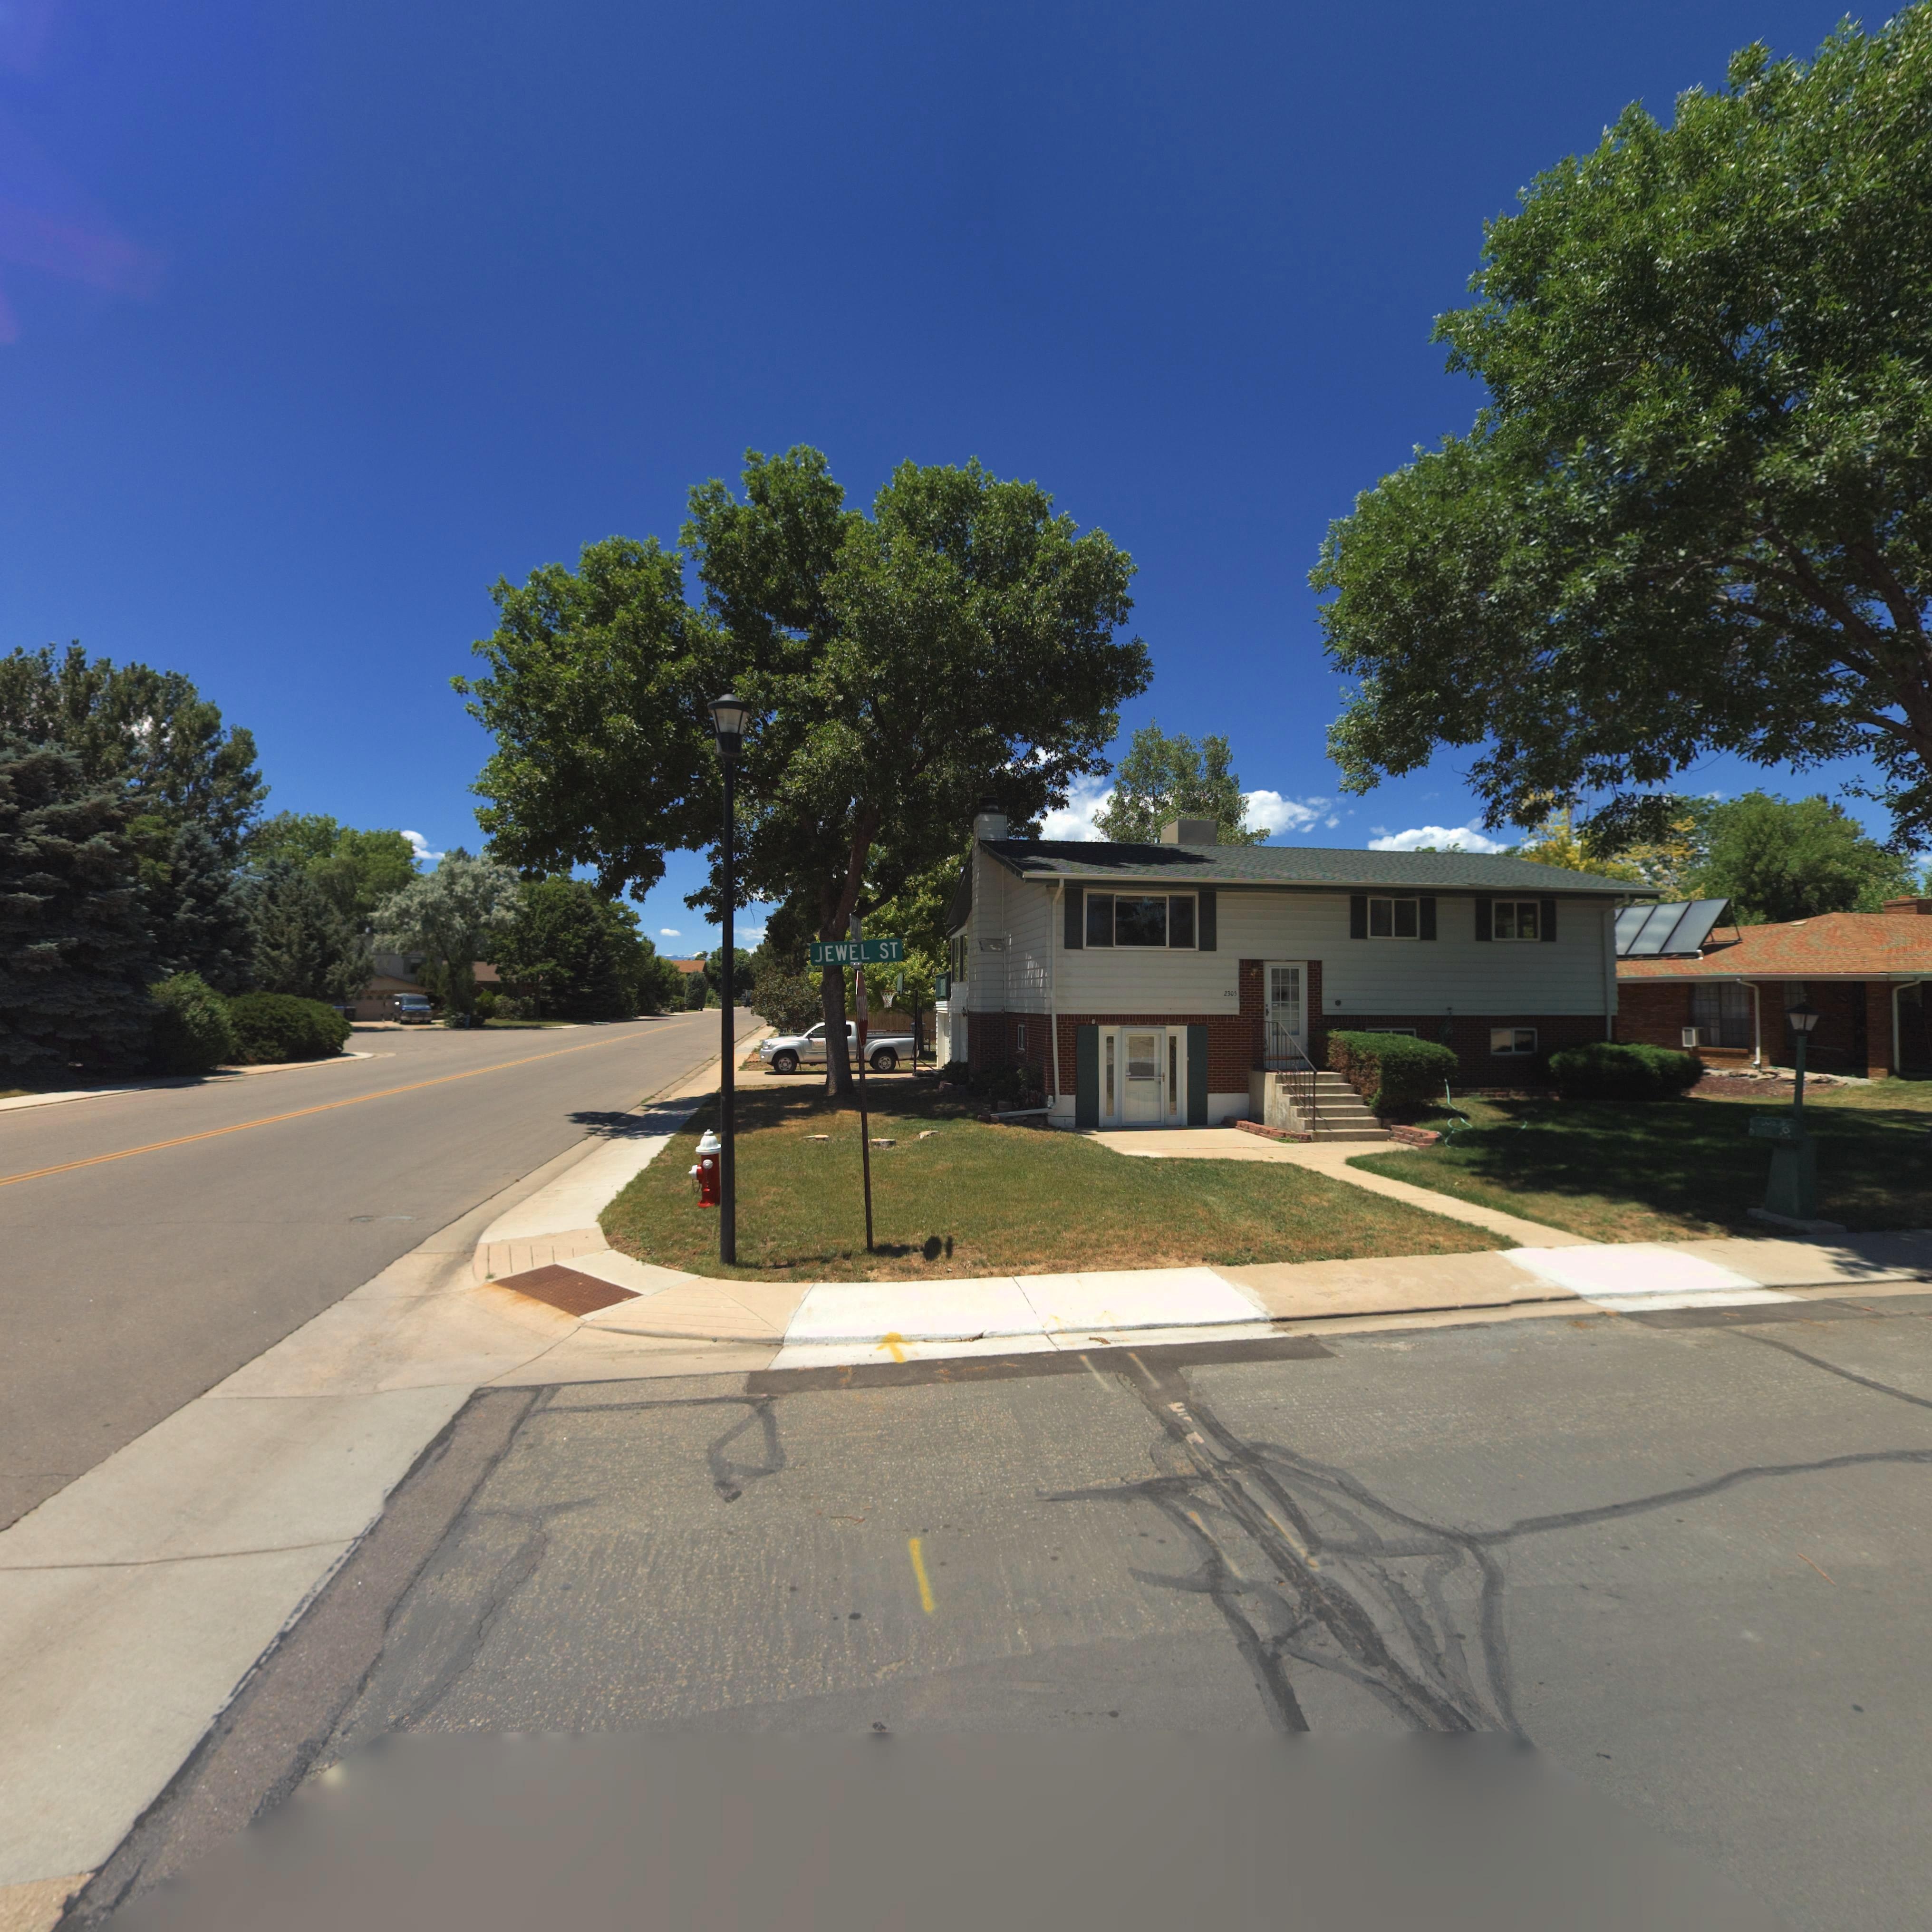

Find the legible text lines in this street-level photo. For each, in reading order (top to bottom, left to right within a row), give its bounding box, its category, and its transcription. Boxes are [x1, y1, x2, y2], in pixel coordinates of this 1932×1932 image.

[812, 940, 899, 965] StreetName: JEWEL ST
[1223, 990, 1237, 996] StreetNumber: 2305